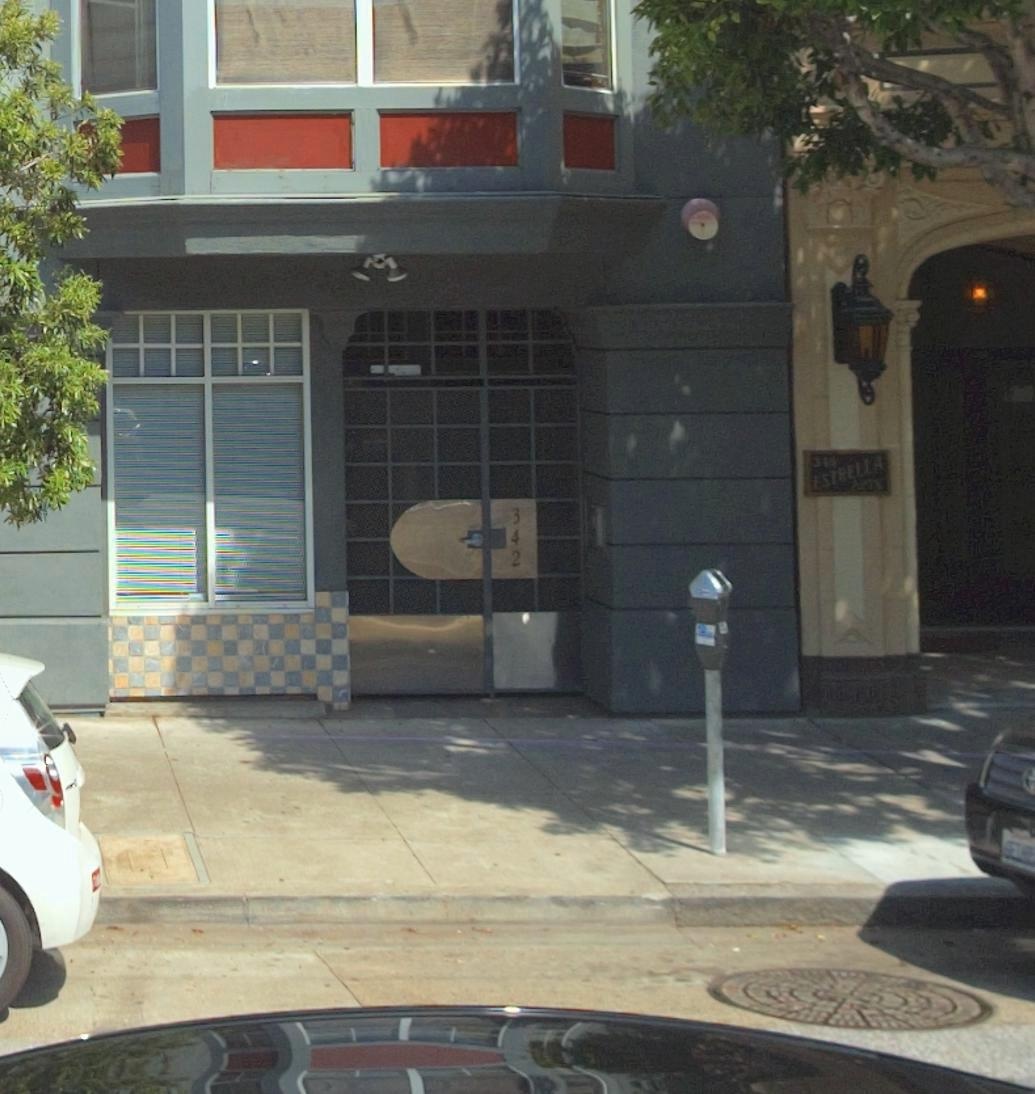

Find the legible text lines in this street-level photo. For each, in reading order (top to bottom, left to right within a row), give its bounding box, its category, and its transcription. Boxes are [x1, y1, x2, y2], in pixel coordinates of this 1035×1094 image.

[811, 451, 887, 494] None: ESTRELLA
[510, 506, 522, 568] StreetNumber: 342